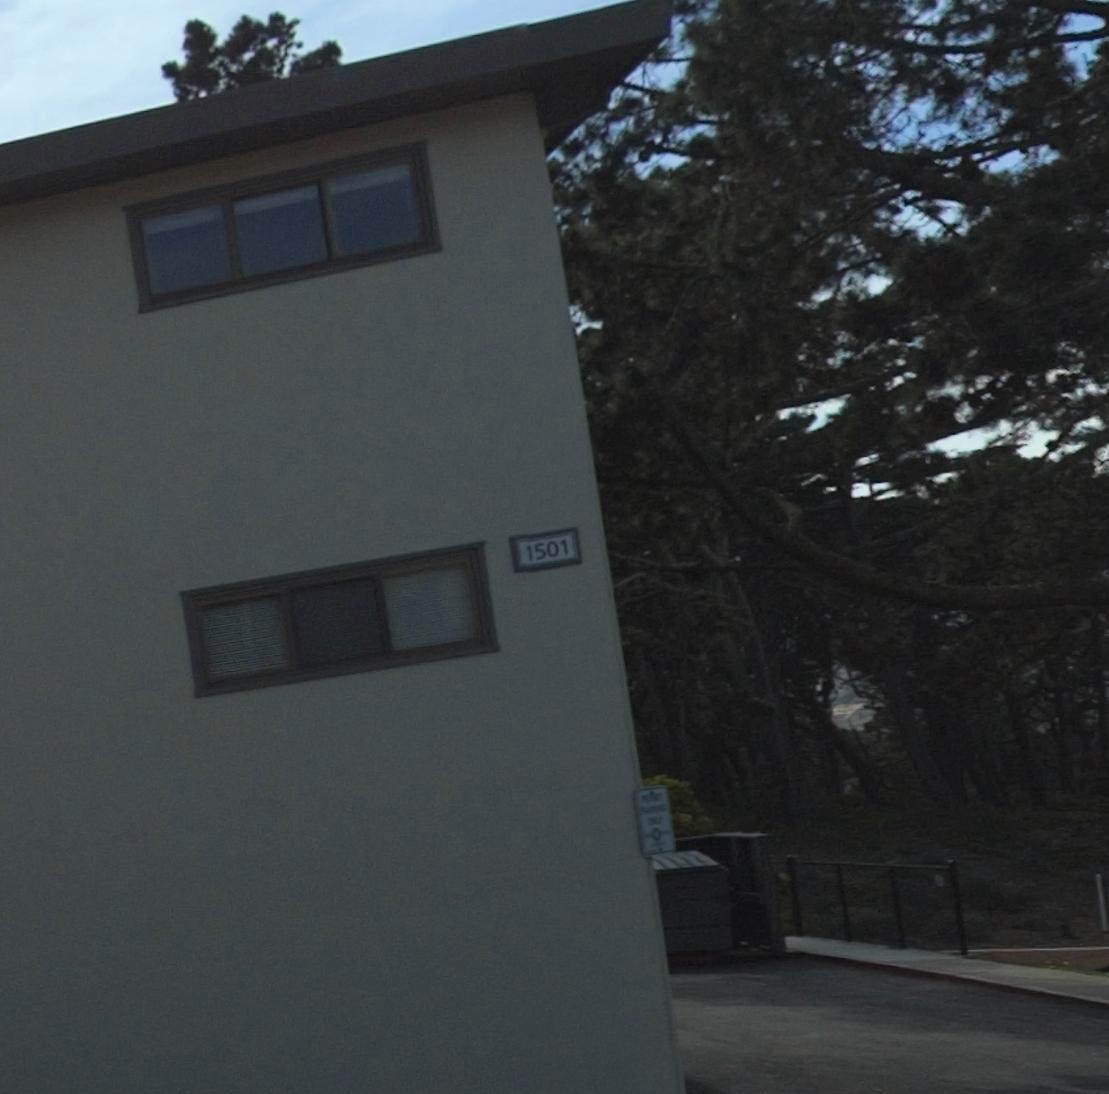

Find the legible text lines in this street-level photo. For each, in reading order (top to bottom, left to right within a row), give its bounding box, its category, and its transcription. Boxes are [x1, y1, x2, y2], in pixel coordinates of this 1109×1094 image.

[522, 535, 572, 565] StreetNumber: 1501